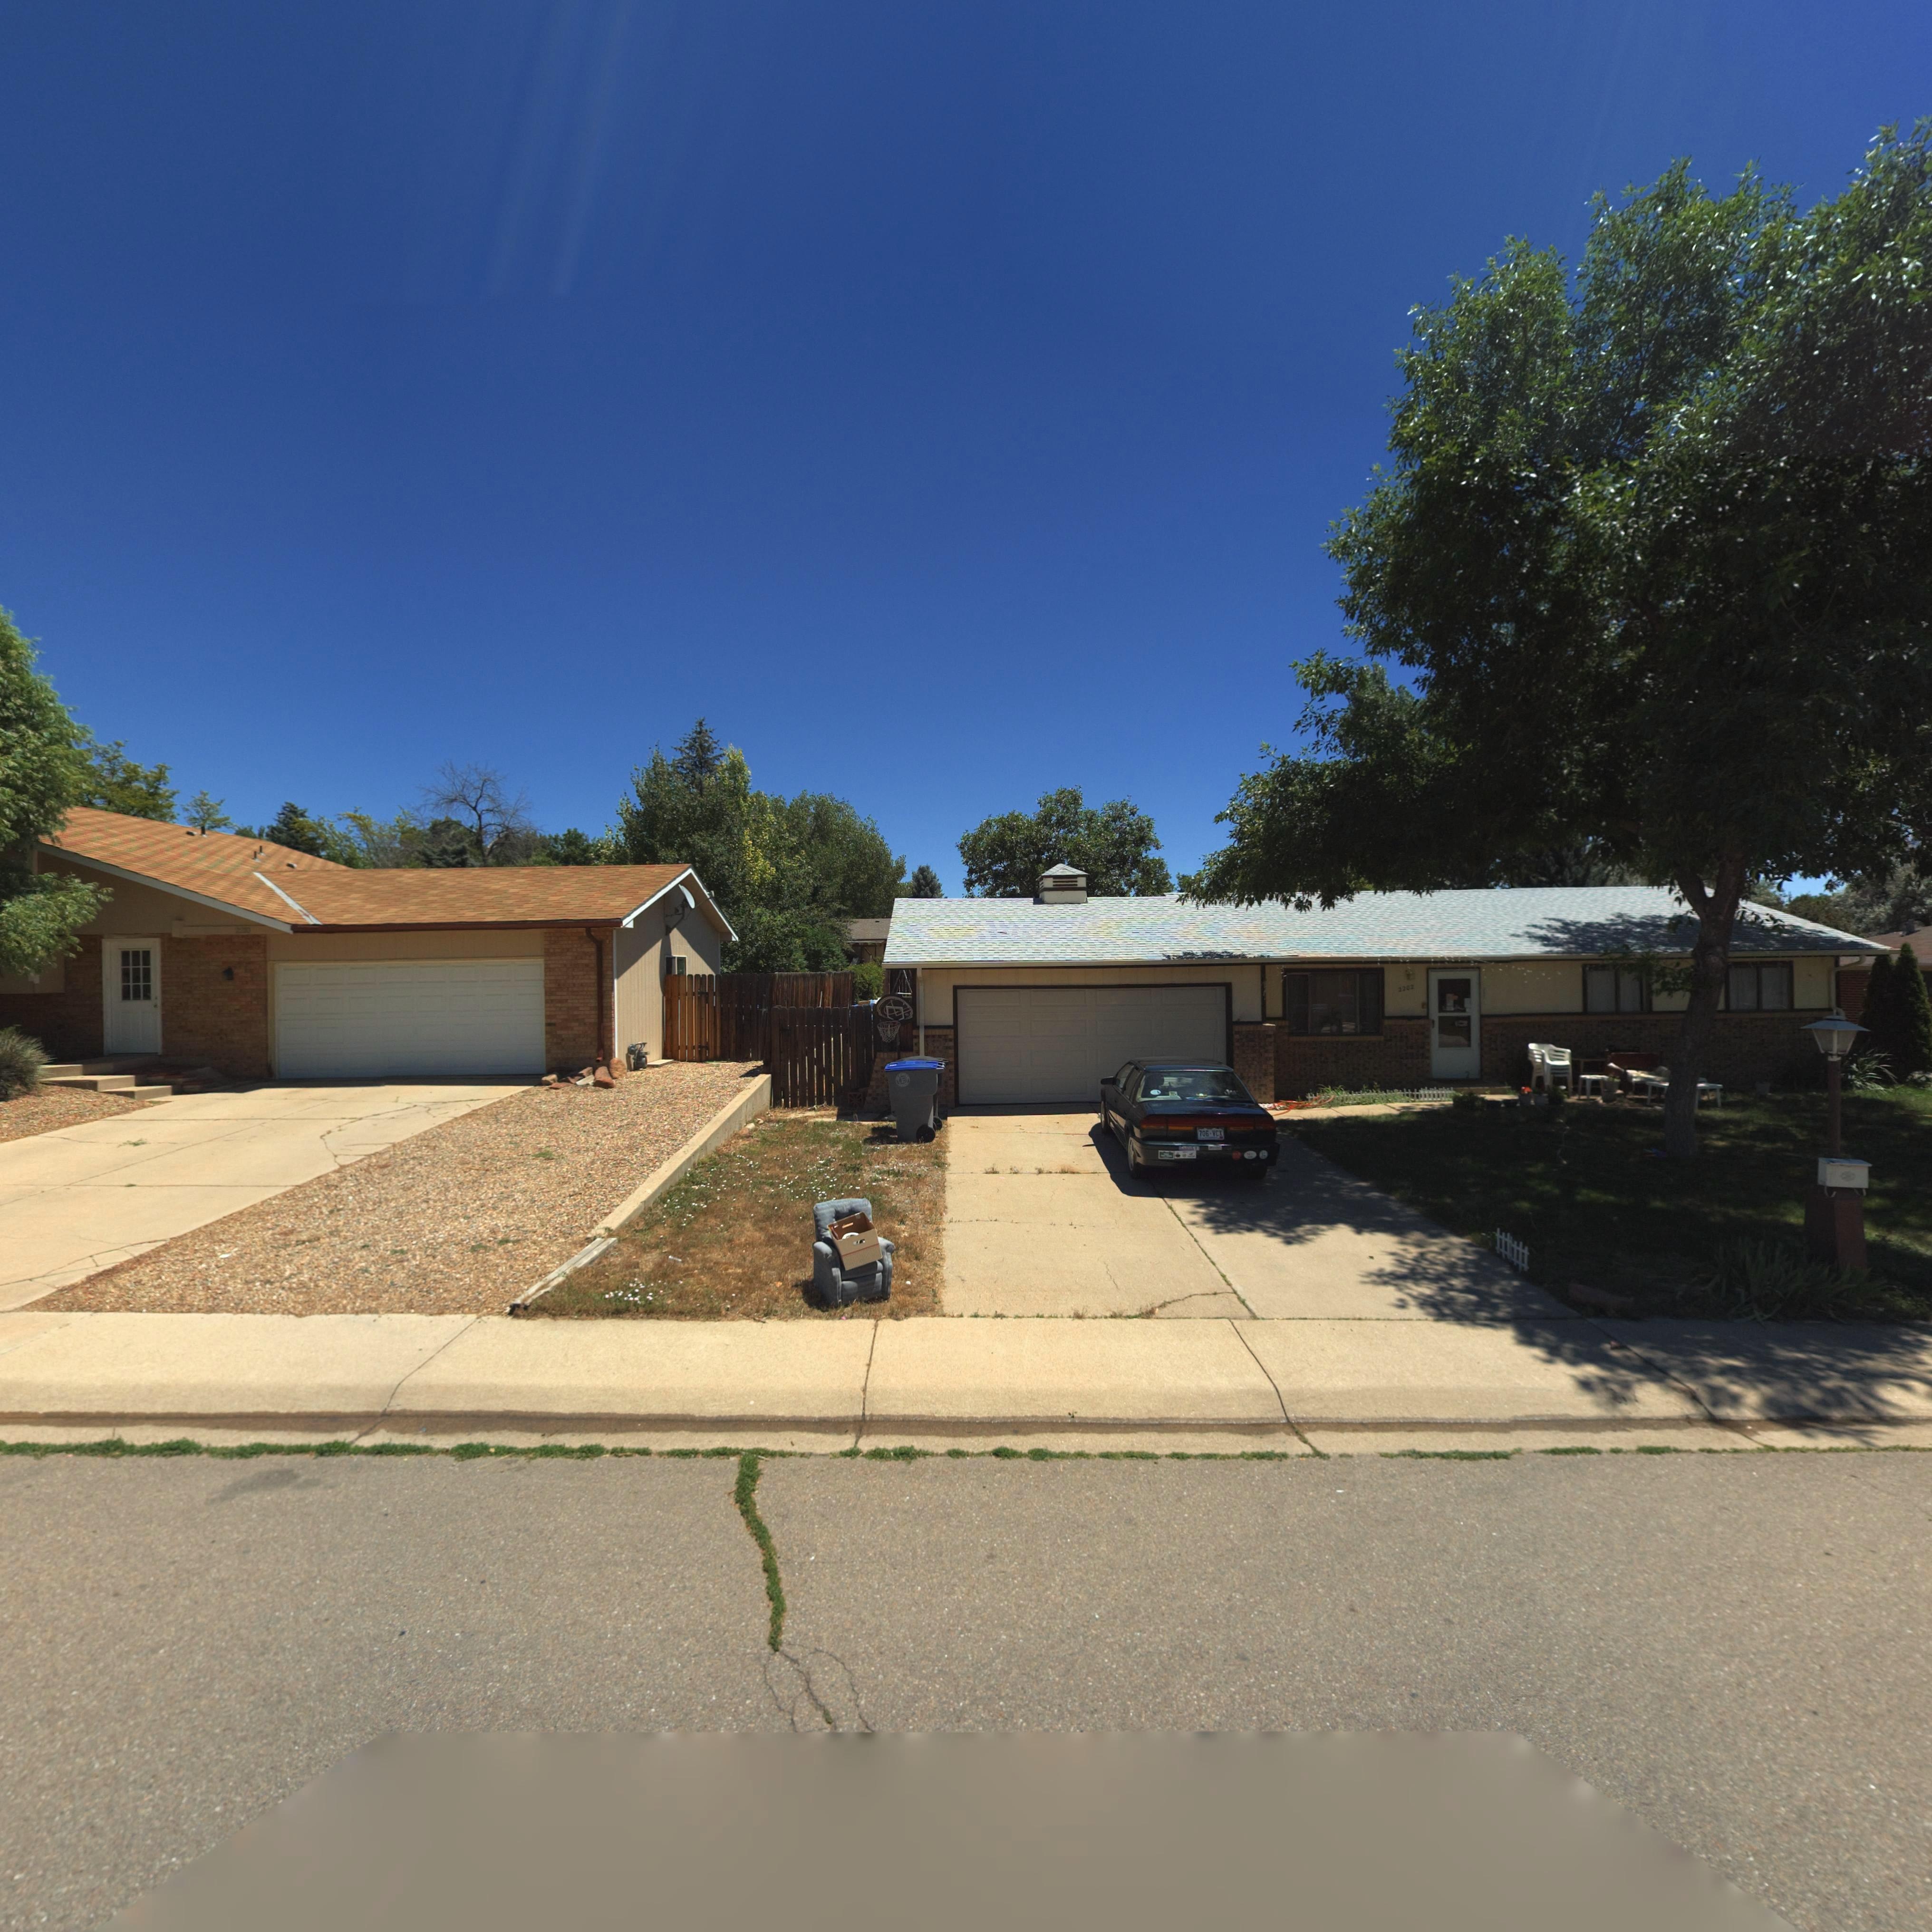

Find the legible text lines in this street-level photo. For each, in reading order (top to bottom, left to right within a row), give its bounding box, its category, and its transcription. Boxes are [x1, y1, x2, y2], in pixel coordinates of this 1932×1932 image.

[1397, 984, 1413, 992] StreetNumber: 2202